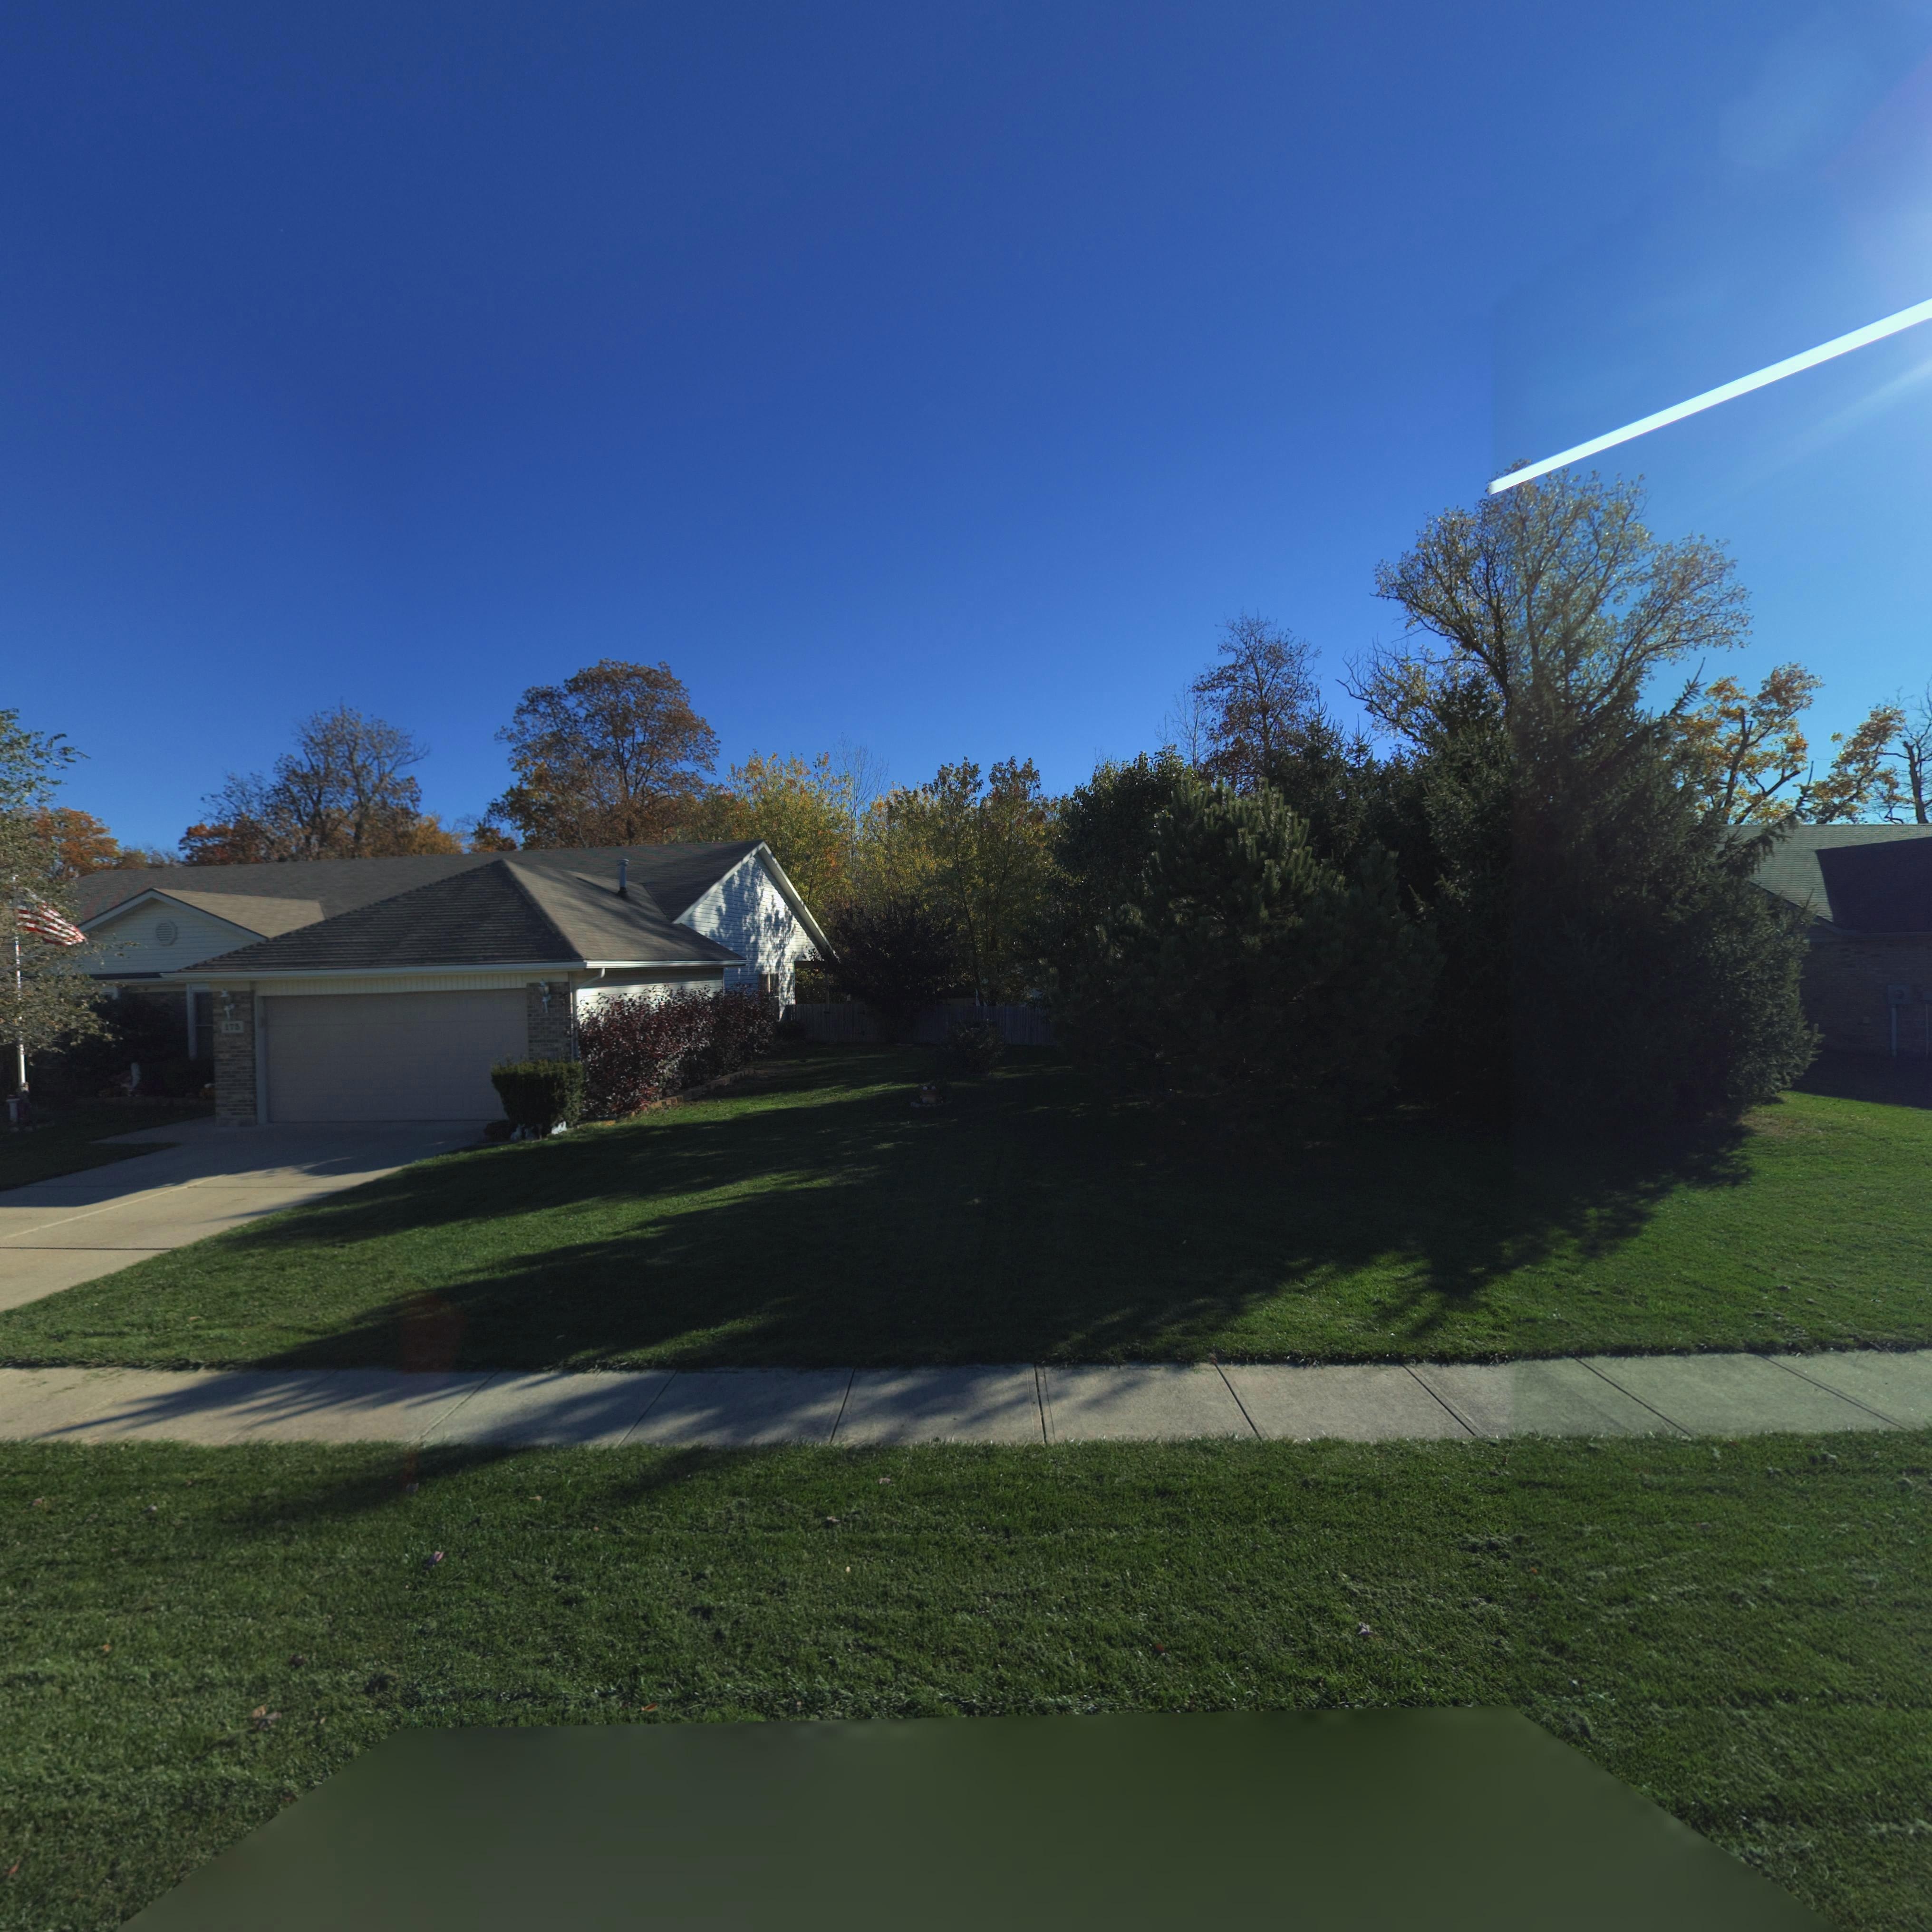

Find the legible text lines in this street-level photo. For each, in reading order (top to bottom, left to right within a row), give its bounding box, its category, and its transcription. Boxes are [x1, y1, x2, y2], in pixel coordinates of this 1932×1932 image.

[224, 1023, 241, 1032] StreetNumber: 17*